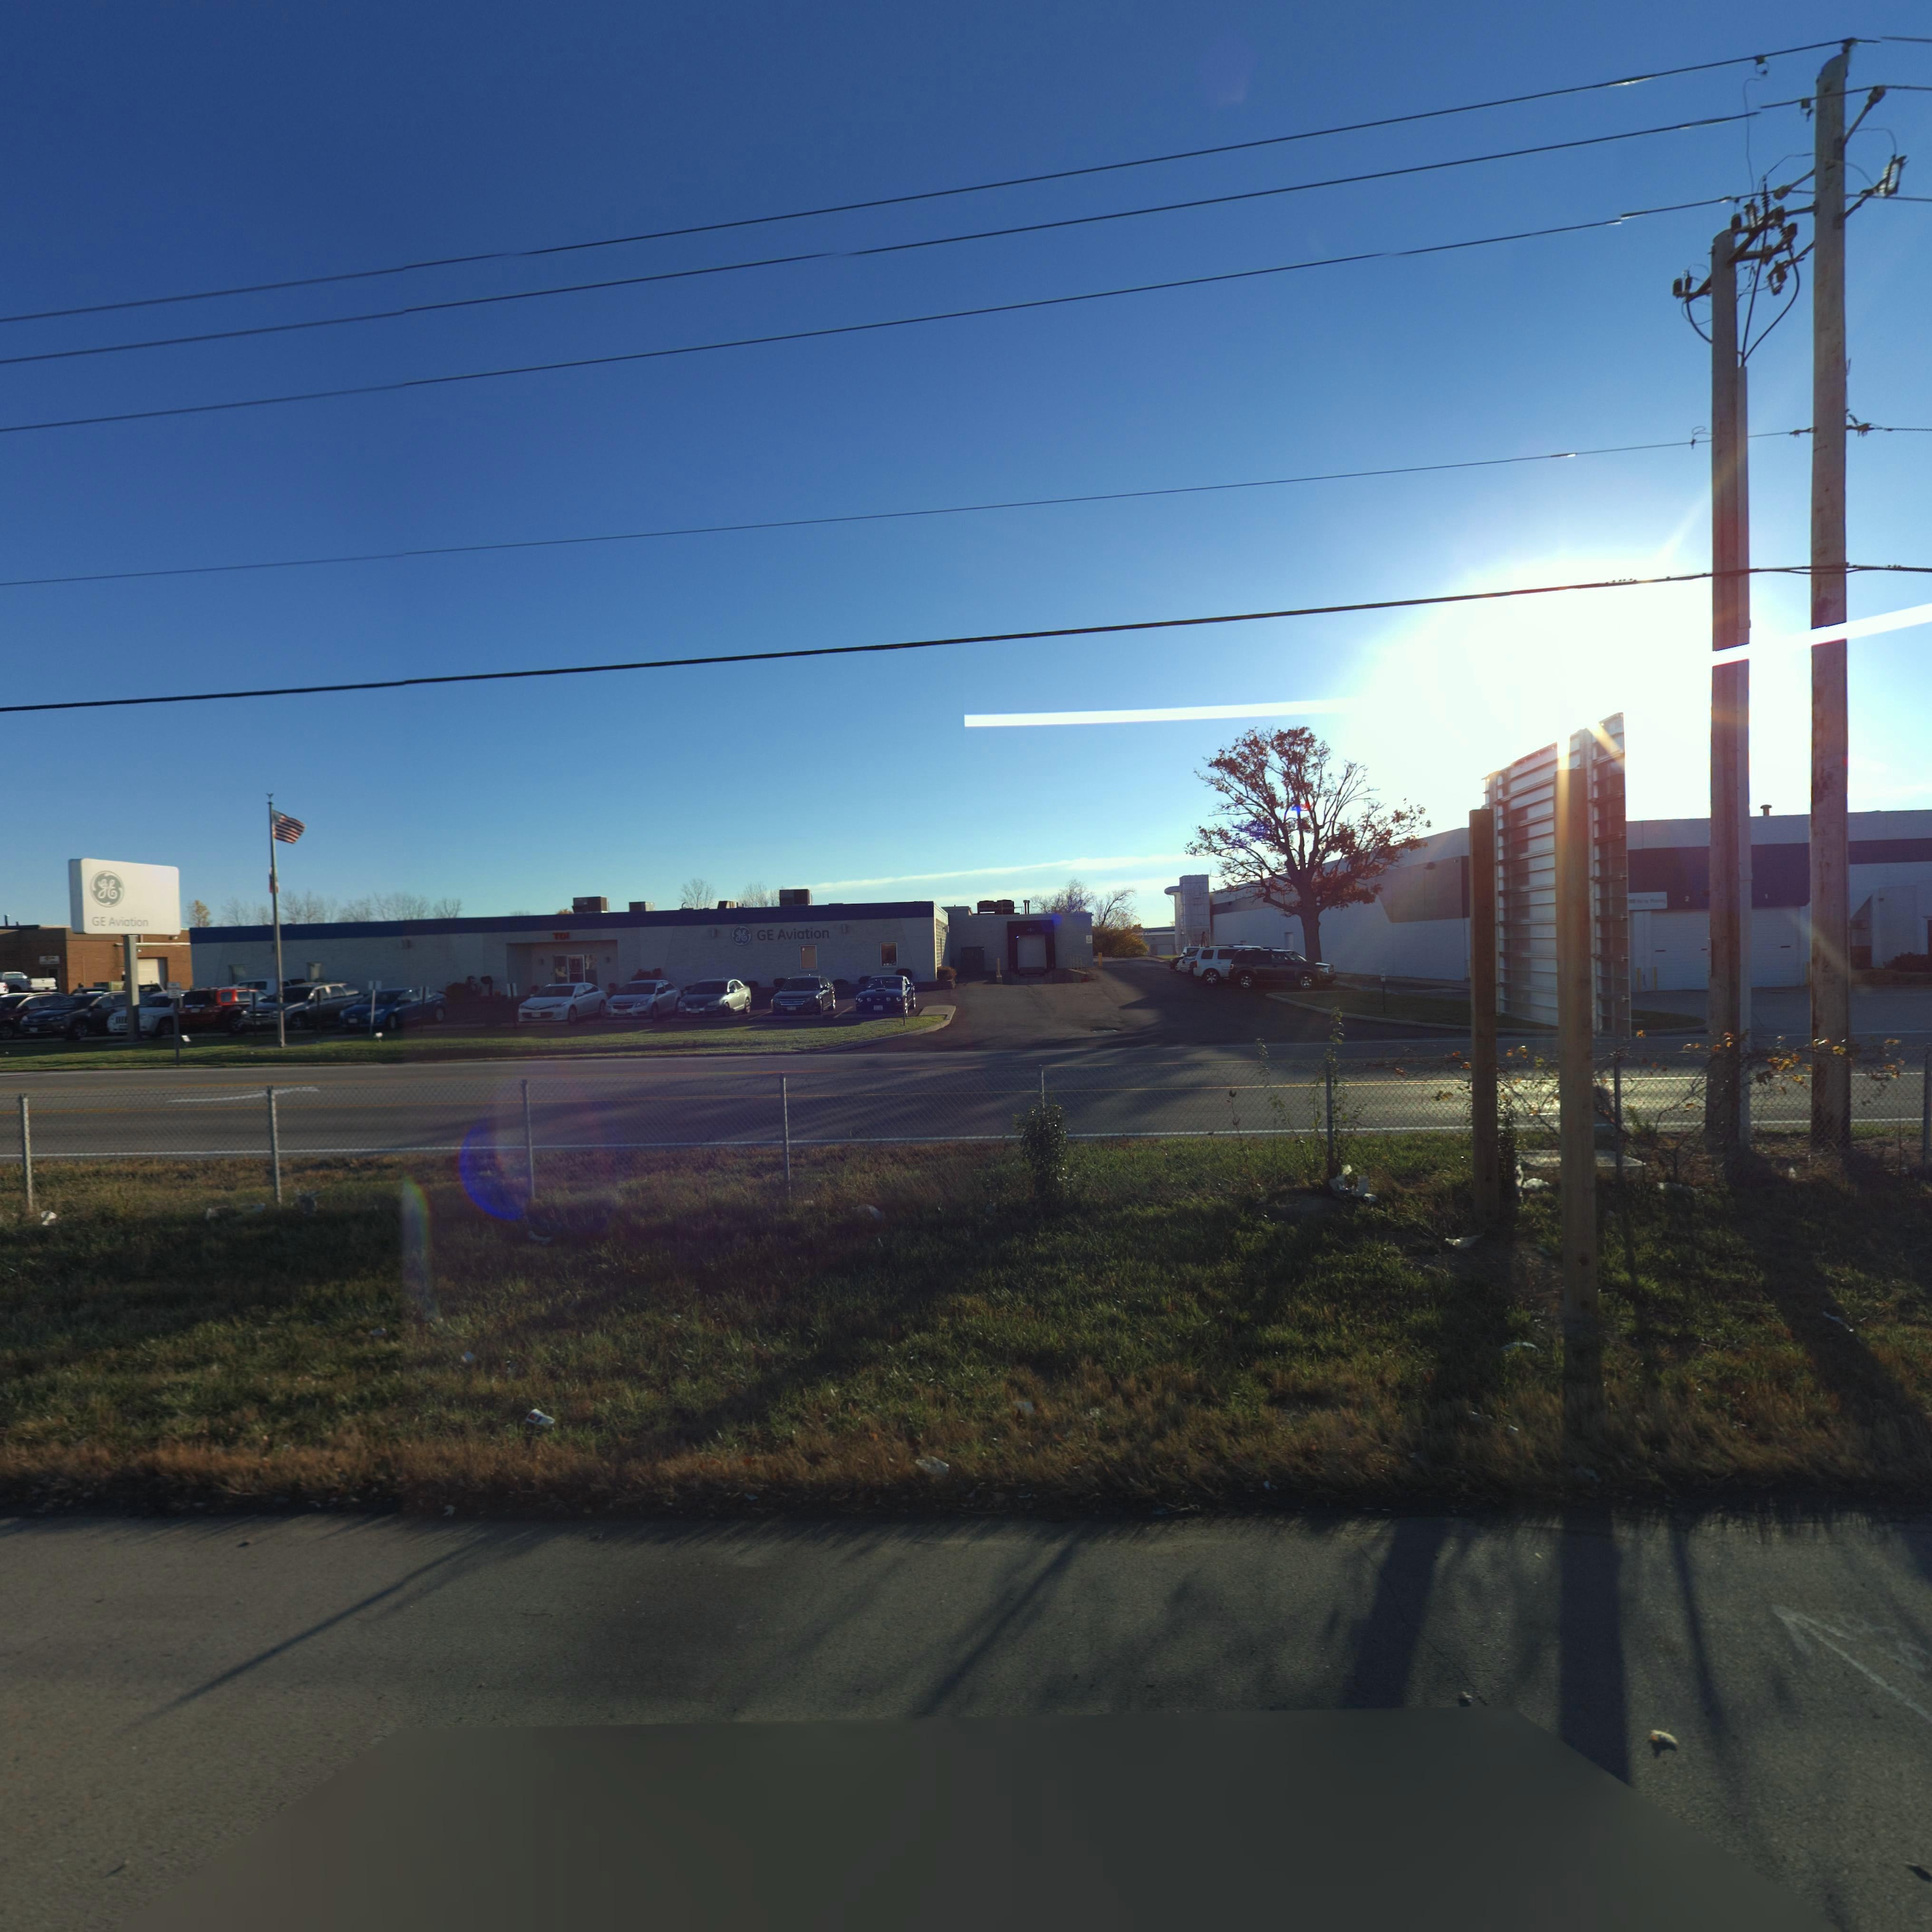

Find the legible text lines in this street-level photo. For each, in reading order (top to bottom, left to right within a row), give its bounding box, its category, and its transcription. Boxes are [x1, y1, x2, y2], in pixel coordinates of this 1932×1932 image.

[96, 878, 118, 900] None: gE
[90, 915, 152, 930] BusinessName: GE Aviation
[551, 931, 570, 941] StreetNumber: 701
[734, 929, 748, 943] None: gE
[754, 925, 833, 943] BusinessName: GE Aviation